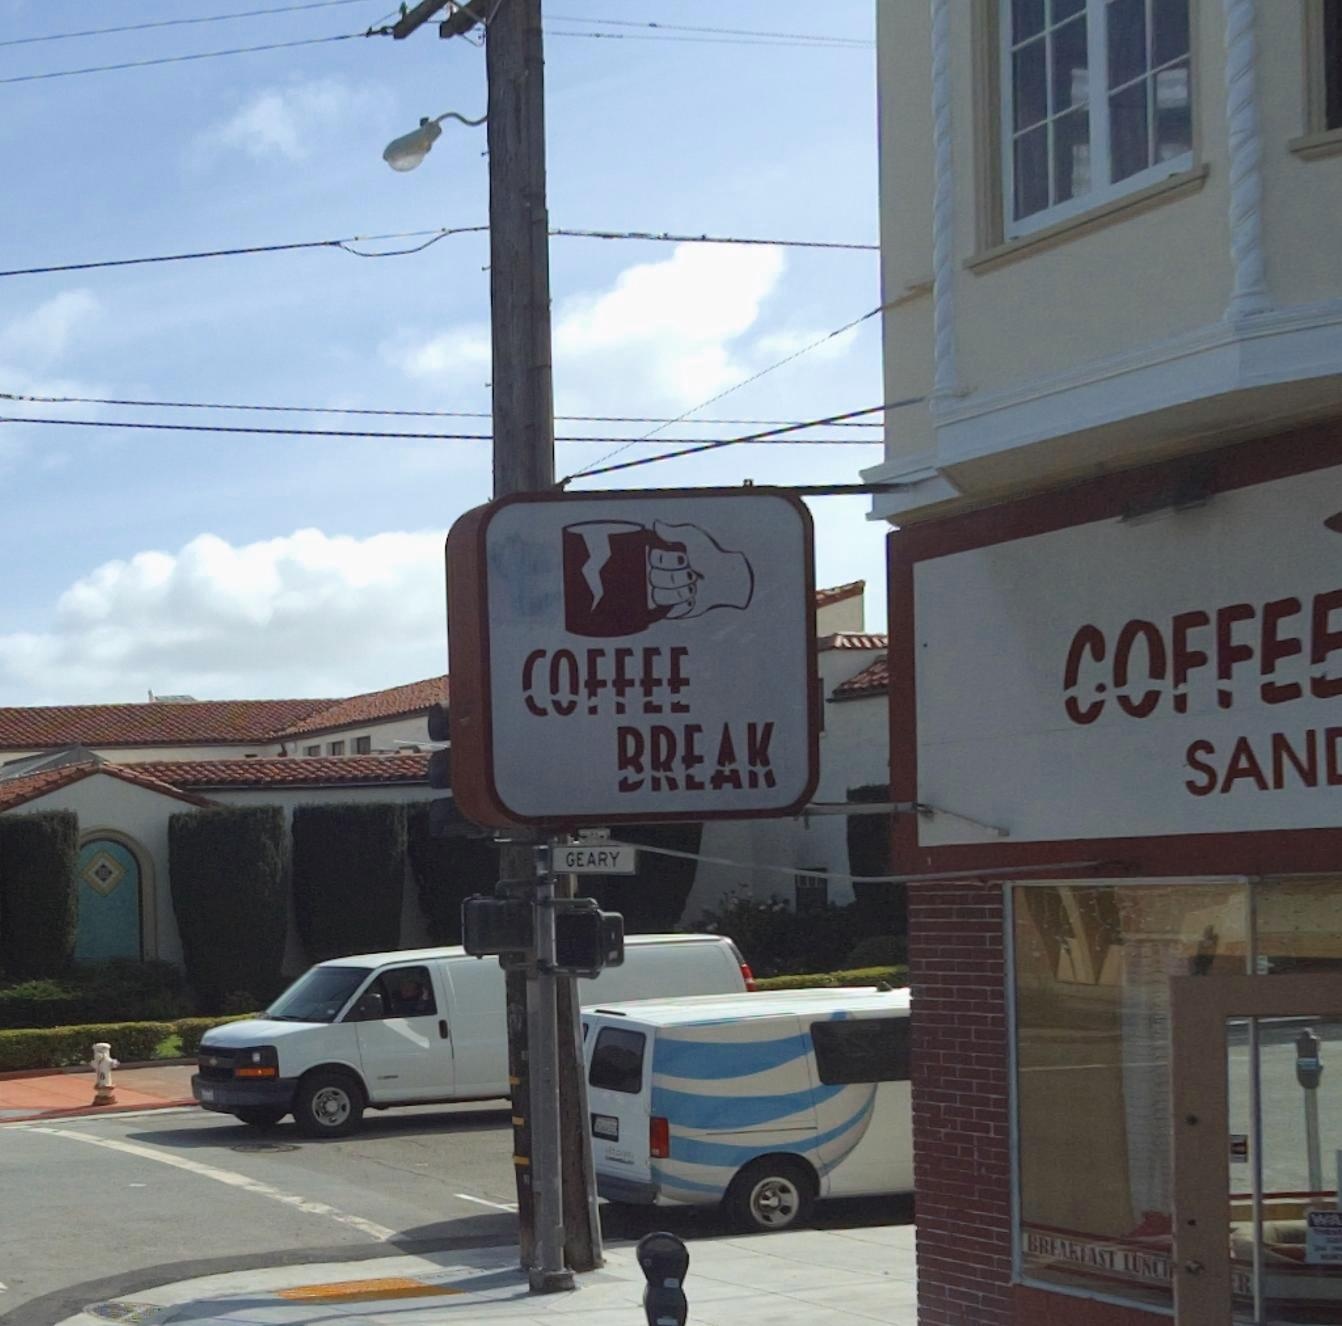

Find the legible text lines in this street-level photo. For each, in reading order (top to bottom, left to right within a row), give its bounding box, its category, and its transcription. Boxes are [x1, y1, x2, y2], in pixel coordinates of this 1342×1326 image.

[519, 644, 693, 720] BusinessName: COFFEE
[1057, 584, 1308, 731] BusinessName: COFFE
[615, 720, 778, 794] BusinessName: BREAK
[1181, 724, 1324, 804] None: SAN
[564, 848, 622, 870] StreetName: GEARY
[1026, 1230, 1175, 1282] None: BREAKFAST LUNC*
[1236, 1270, 1254, 1297] None: R
[1309, 1211, 1342, 1227] None: WA